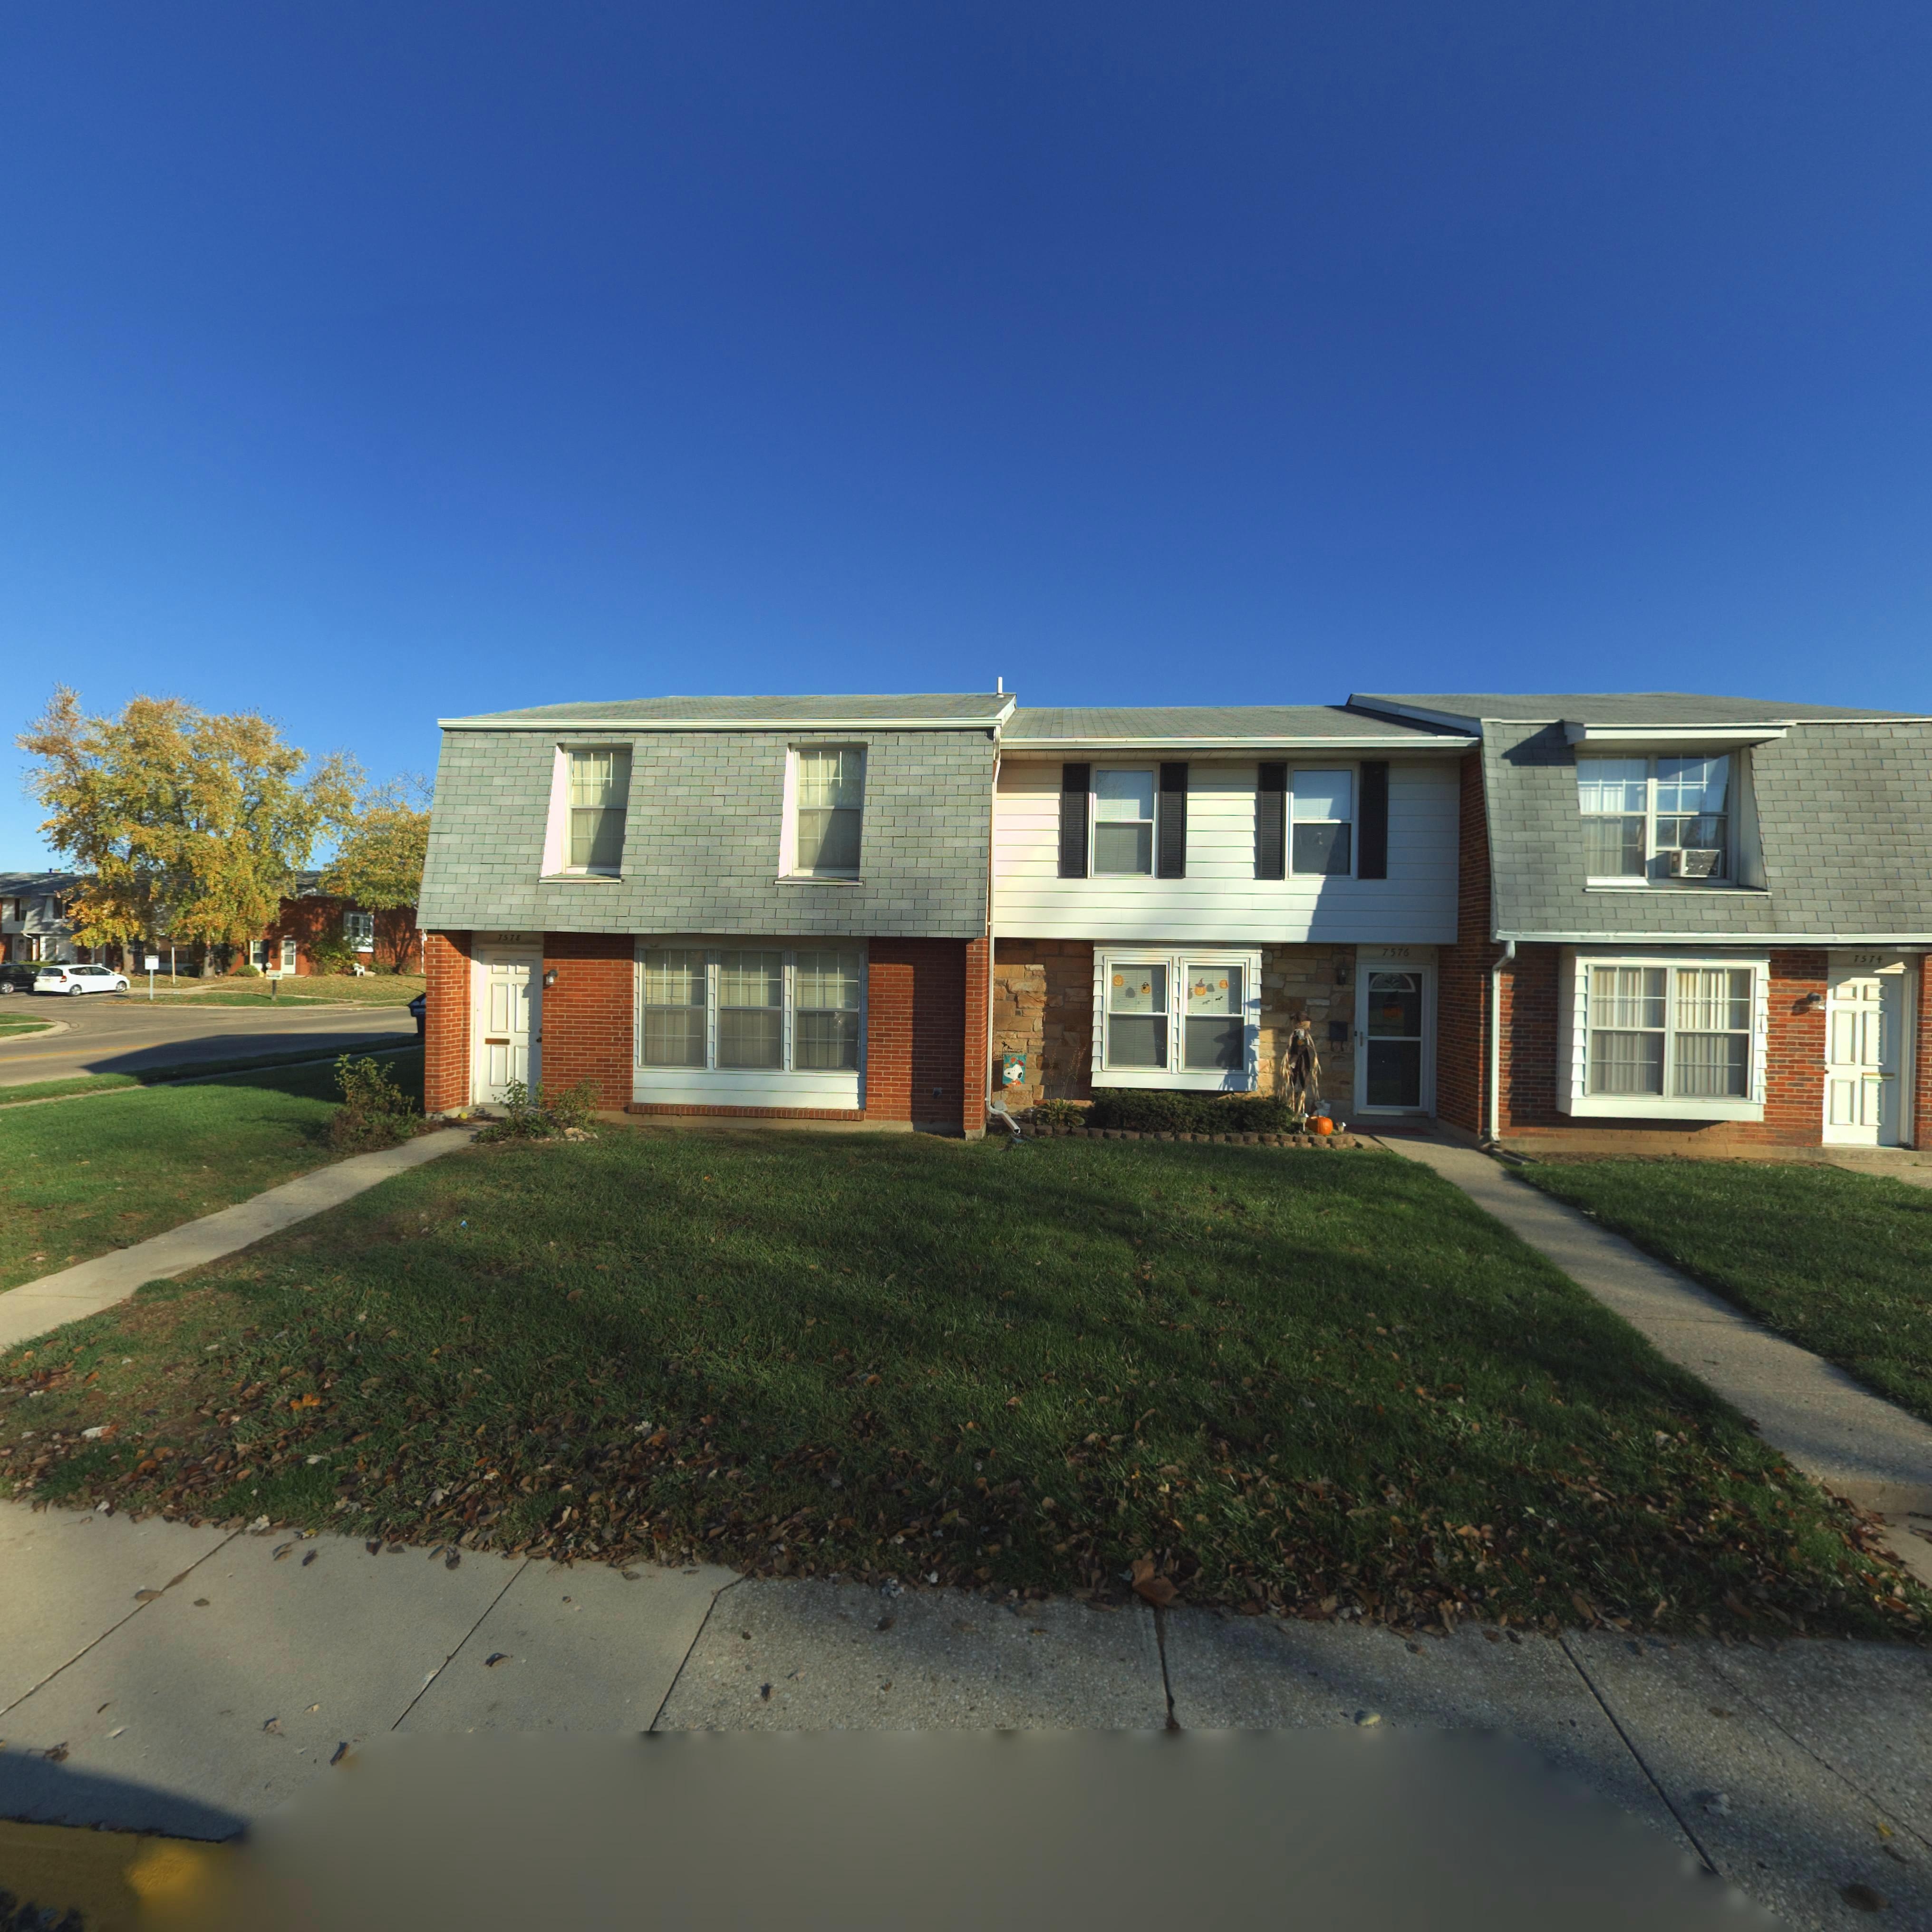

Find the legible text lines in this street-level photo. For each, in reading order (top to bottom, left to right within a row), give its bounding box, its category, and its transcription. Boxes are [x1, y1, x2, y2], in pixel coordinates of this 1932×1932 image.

[498, 933, 522, 942] StreetNumber: 7578
[1381, 947, 1411, 958] StreetNumber: 7576
[1853, 954, 1884, 964] StreetNumber: 7574